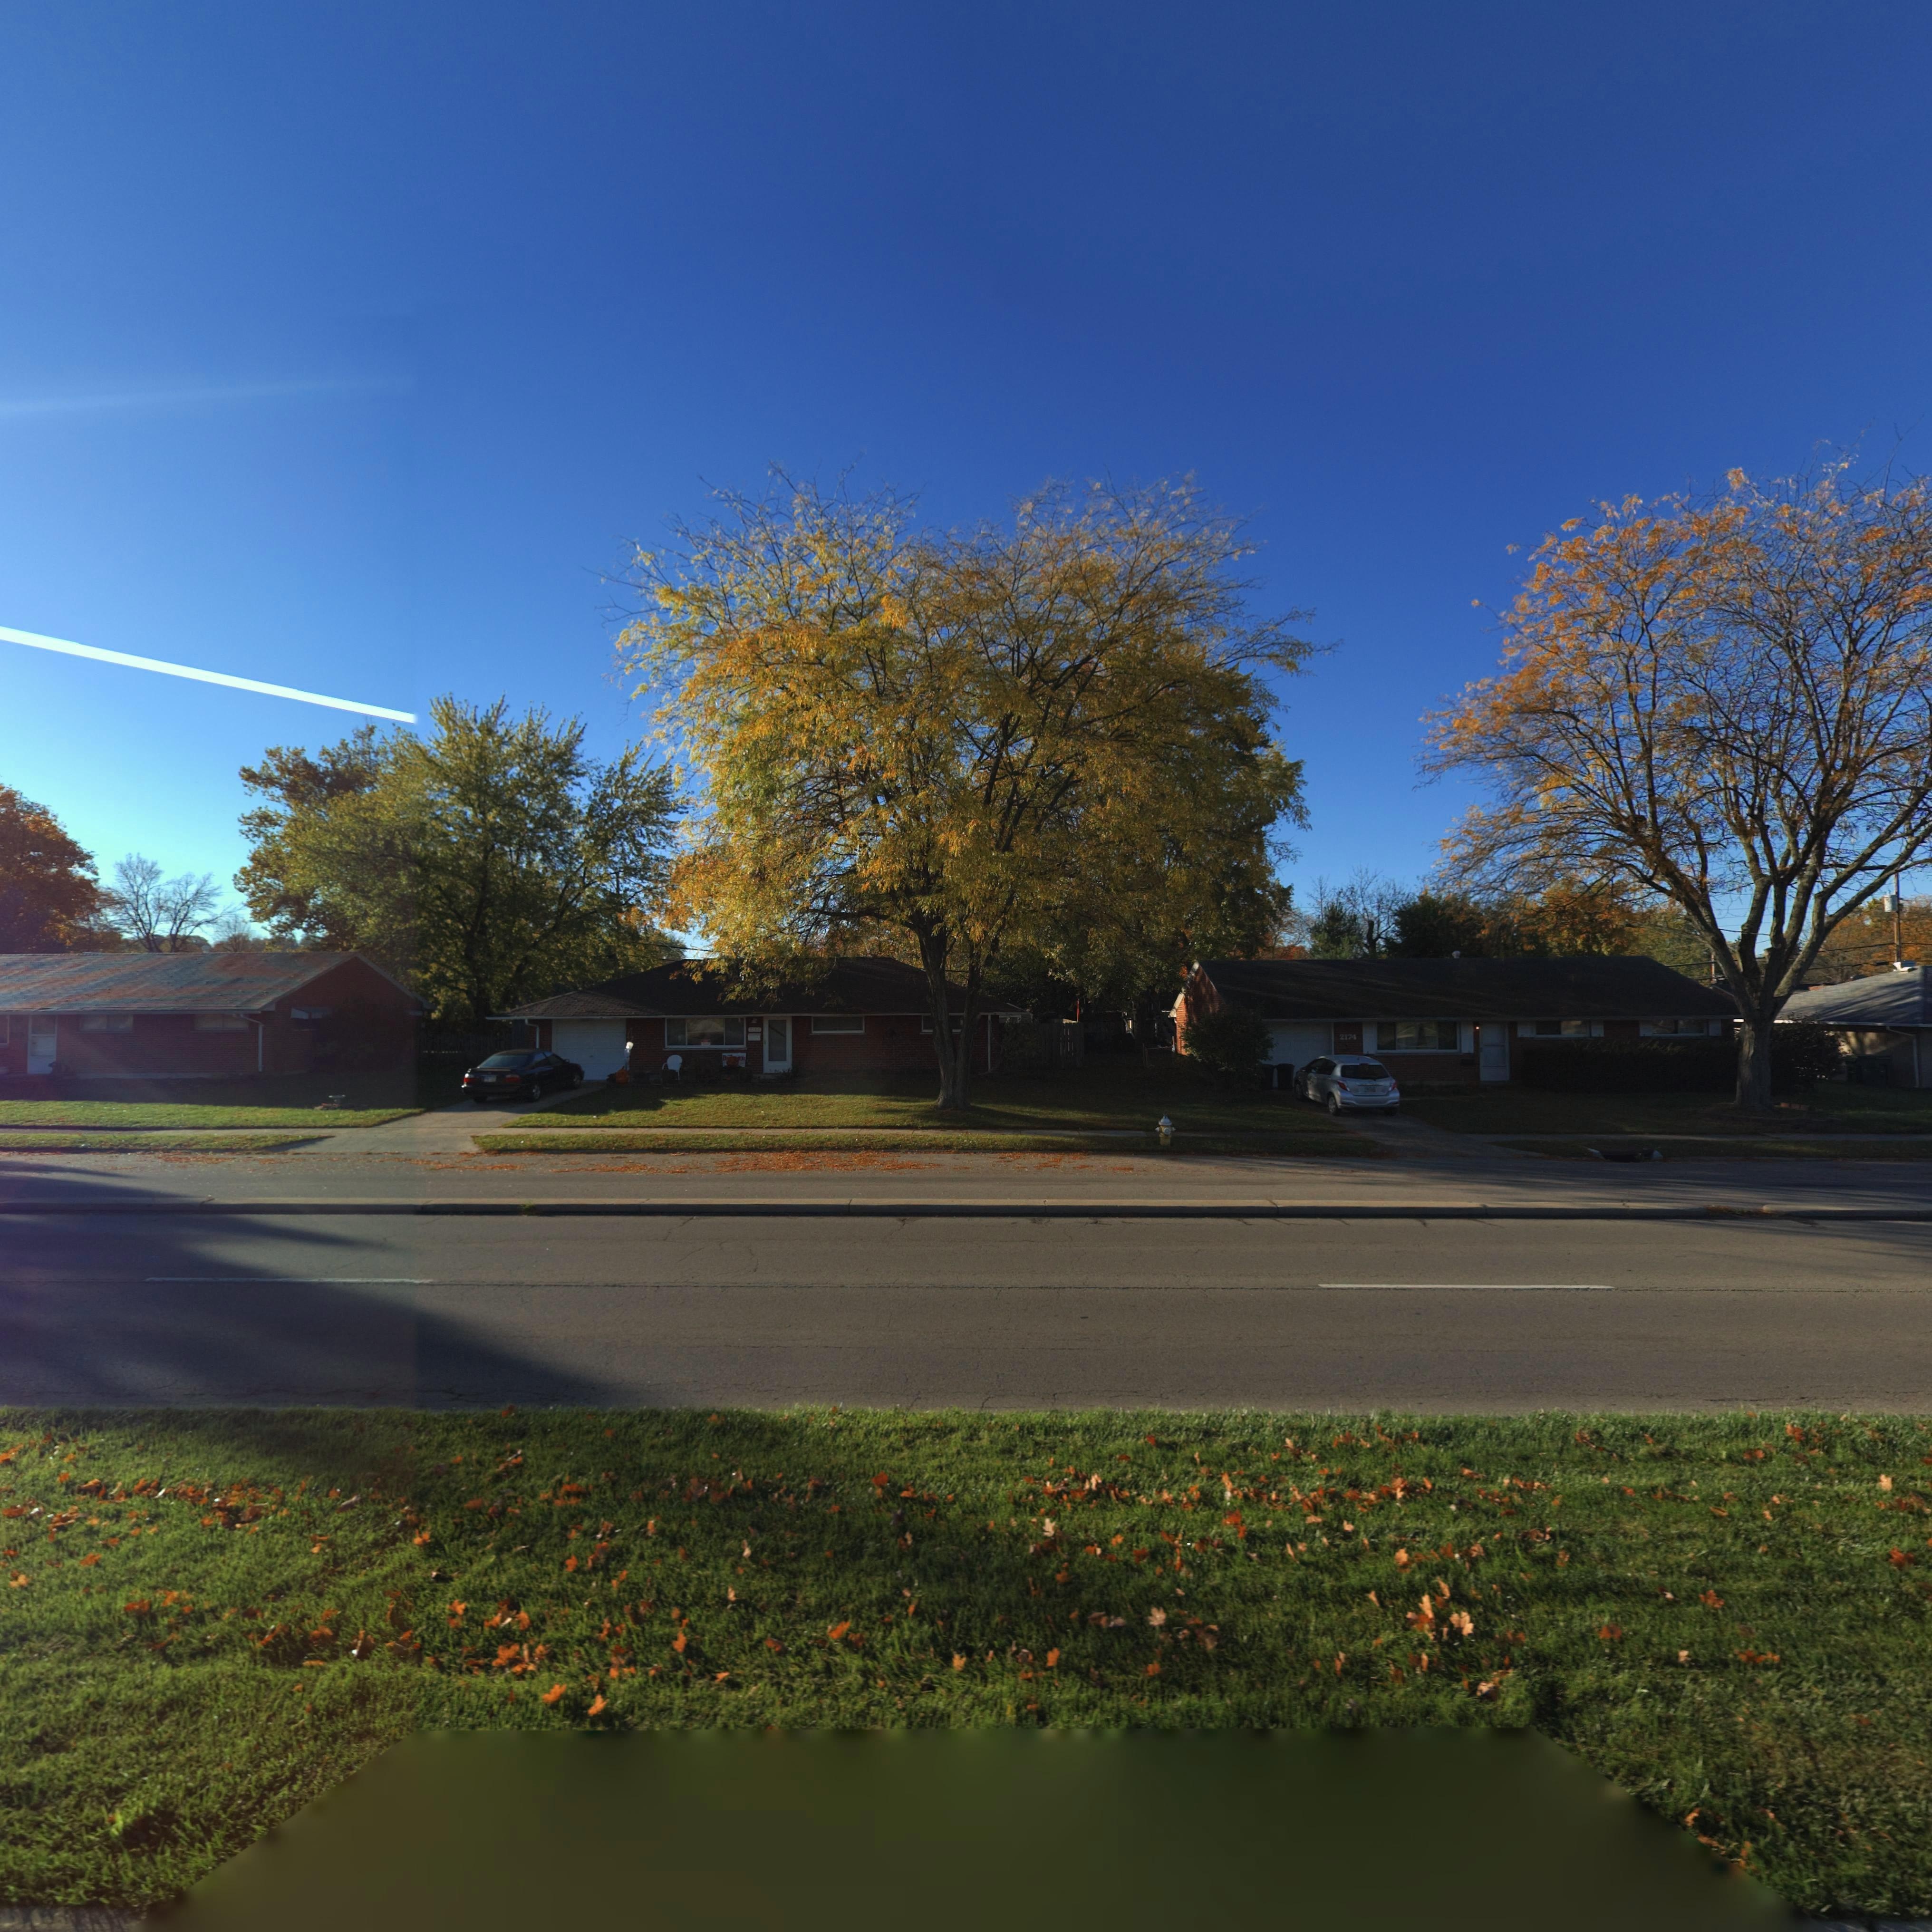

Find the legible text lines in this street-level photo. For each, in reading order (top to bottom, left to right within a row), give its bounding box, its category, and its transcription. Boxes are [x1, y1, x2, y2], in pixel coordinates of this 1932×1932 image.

[1339, 1033, 1357, 1041] StreetNumber: 2174